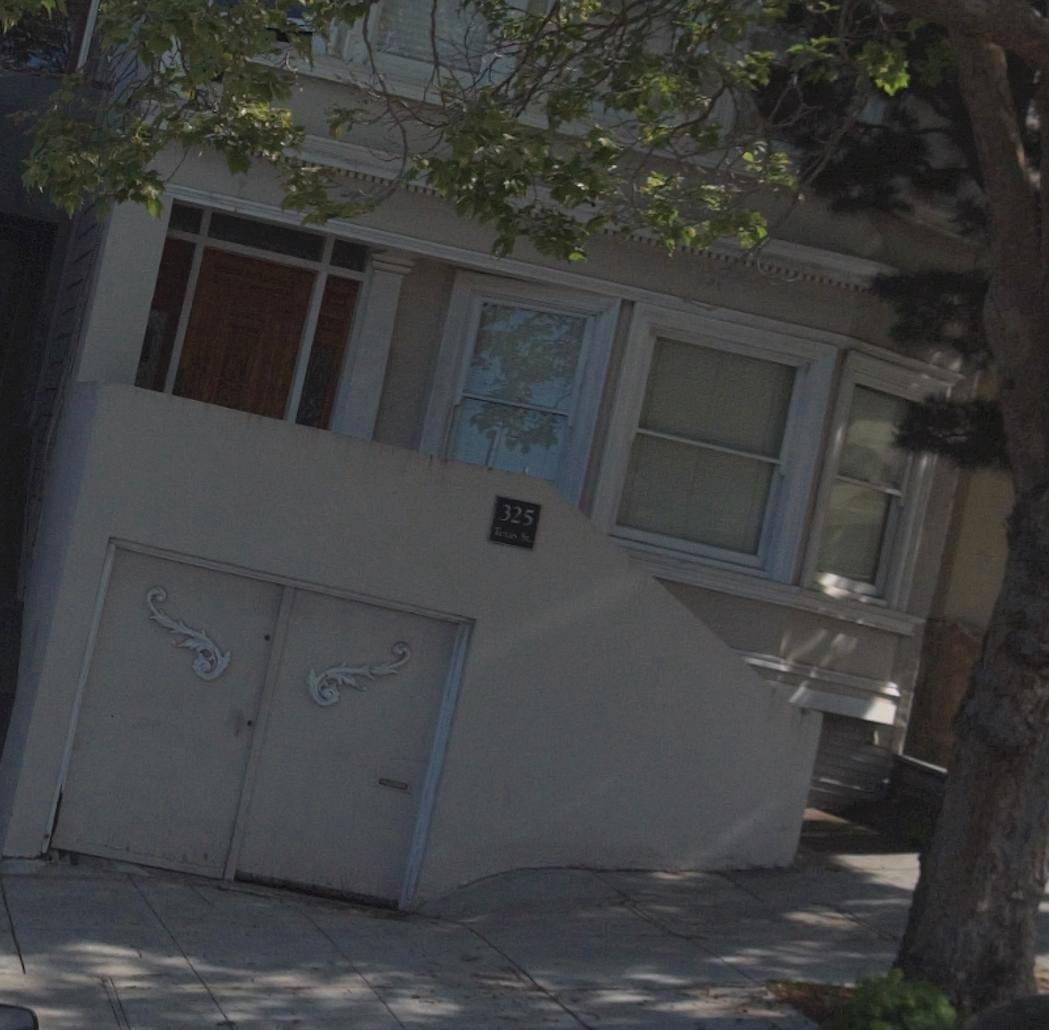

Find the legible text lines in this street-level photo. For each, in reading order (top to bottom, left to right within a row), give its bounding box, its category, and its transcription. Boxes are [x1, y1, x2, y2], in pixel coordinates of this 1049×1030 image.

[499, 502, 536, 529] StreetNumber: 325
[491, 524, 535, 546] StreetName: TE** ST.